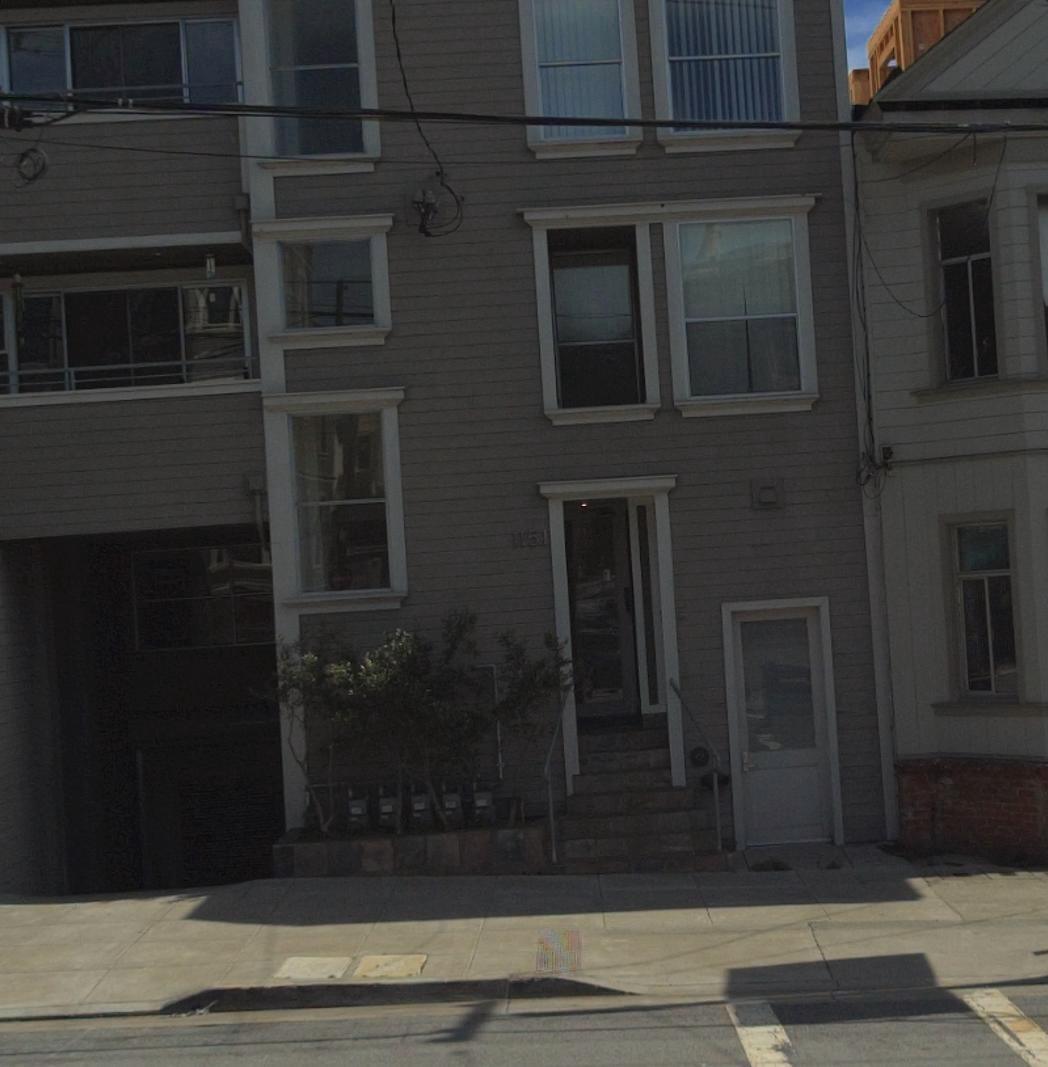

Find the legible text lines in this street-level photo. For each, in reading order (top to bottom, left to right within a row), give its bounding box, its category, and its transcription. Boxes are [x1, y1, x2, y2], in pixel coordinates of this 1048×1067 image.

[512, 528, 548, 549] StreetNumber: 1151